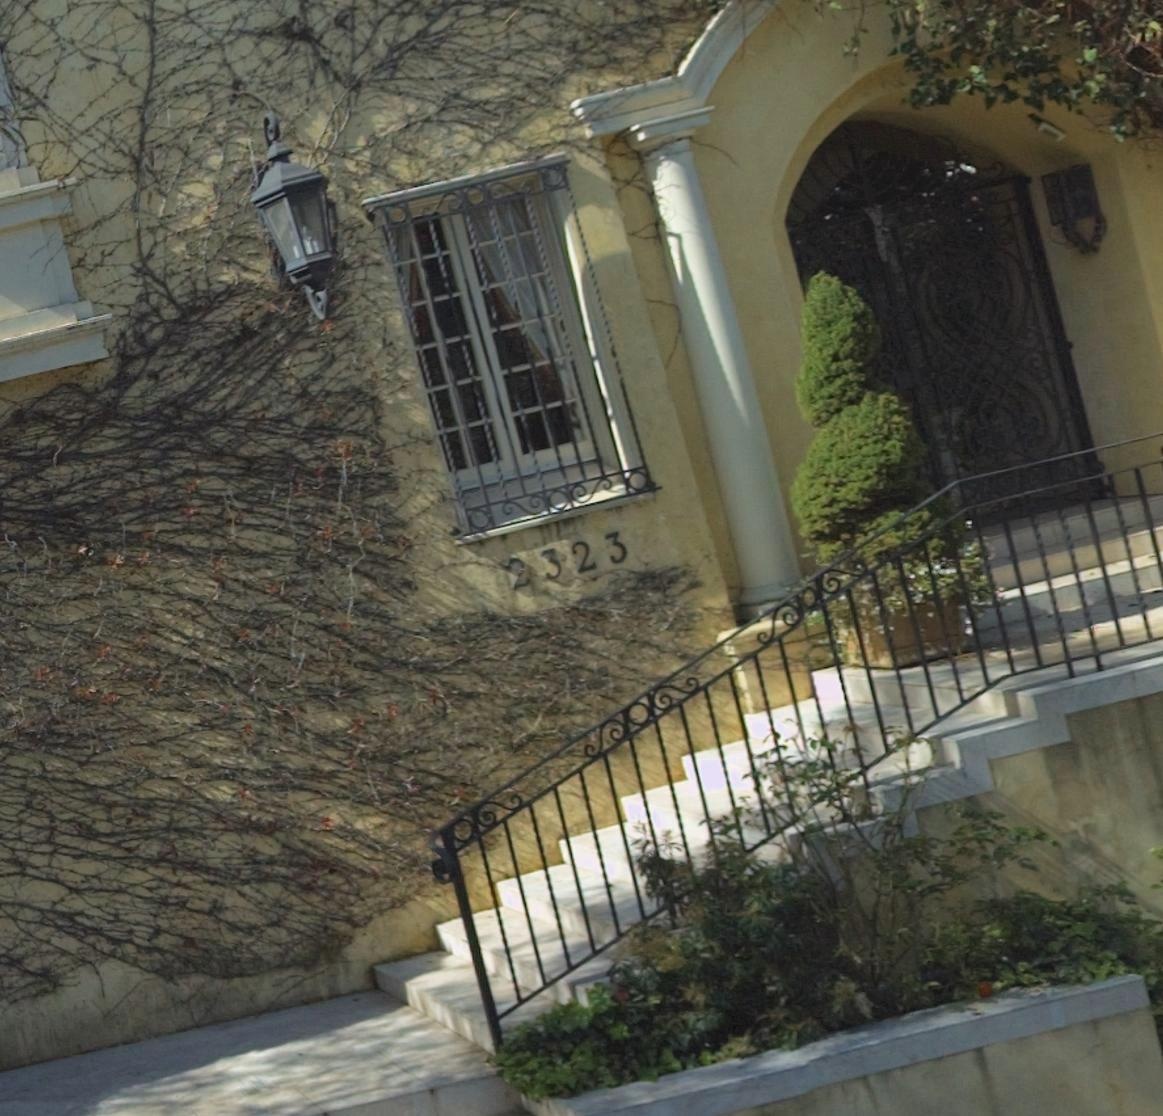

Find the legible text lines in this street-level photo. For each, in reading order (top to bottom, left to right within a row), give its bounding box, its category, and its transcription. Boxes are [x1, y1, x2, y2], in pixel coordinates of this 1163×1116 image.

[502, 529, 629, 594] StreetNumber: 2323